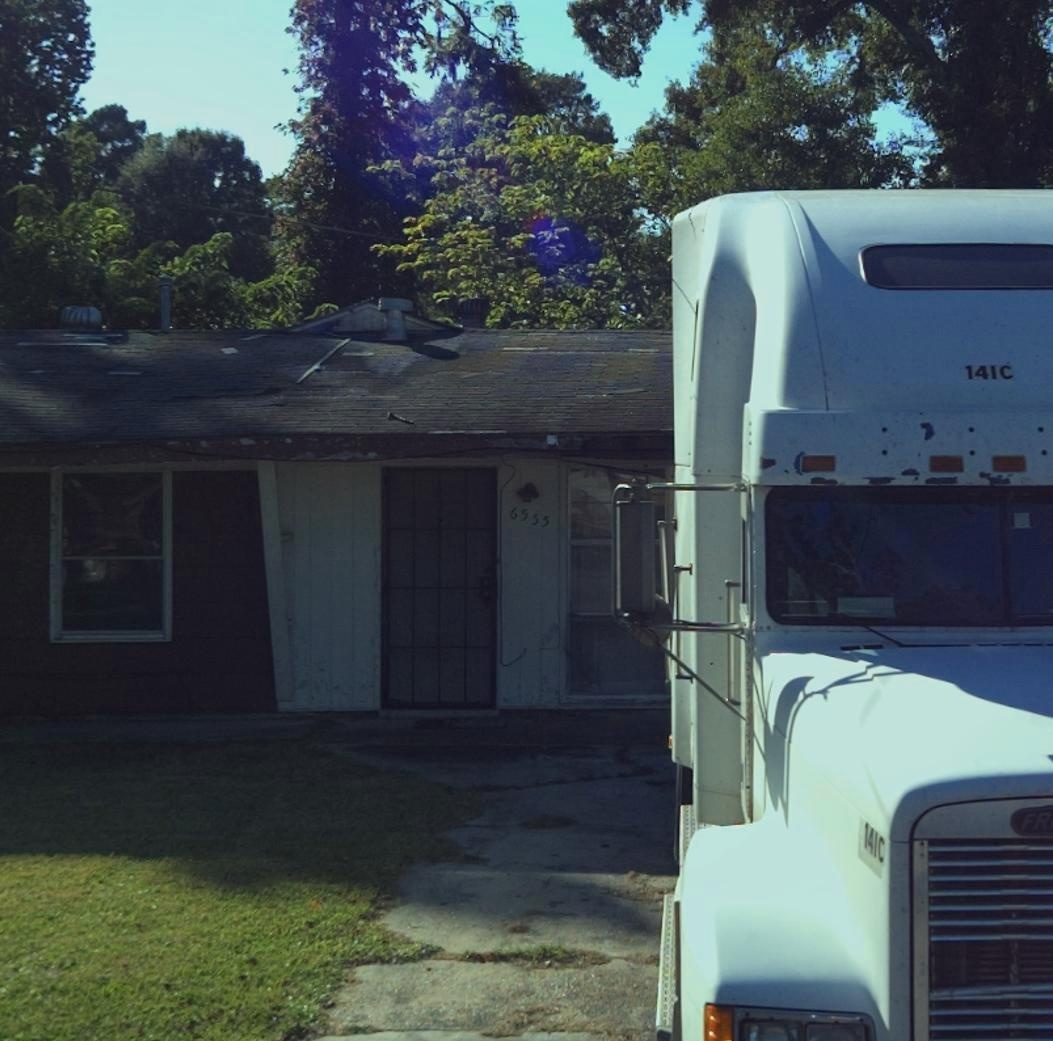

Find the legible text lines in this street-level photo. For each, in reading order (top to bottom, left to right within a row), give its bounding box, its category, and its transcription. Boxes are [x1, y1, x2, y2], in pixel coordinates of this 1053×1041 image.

[963, 364, 1017, 382] None: 141C
[507, 506, 552, 530] StreetNumber: 6555
[1017, 809, 1052, 832] None: FR
[861, 817, 886, 867] None: 141C